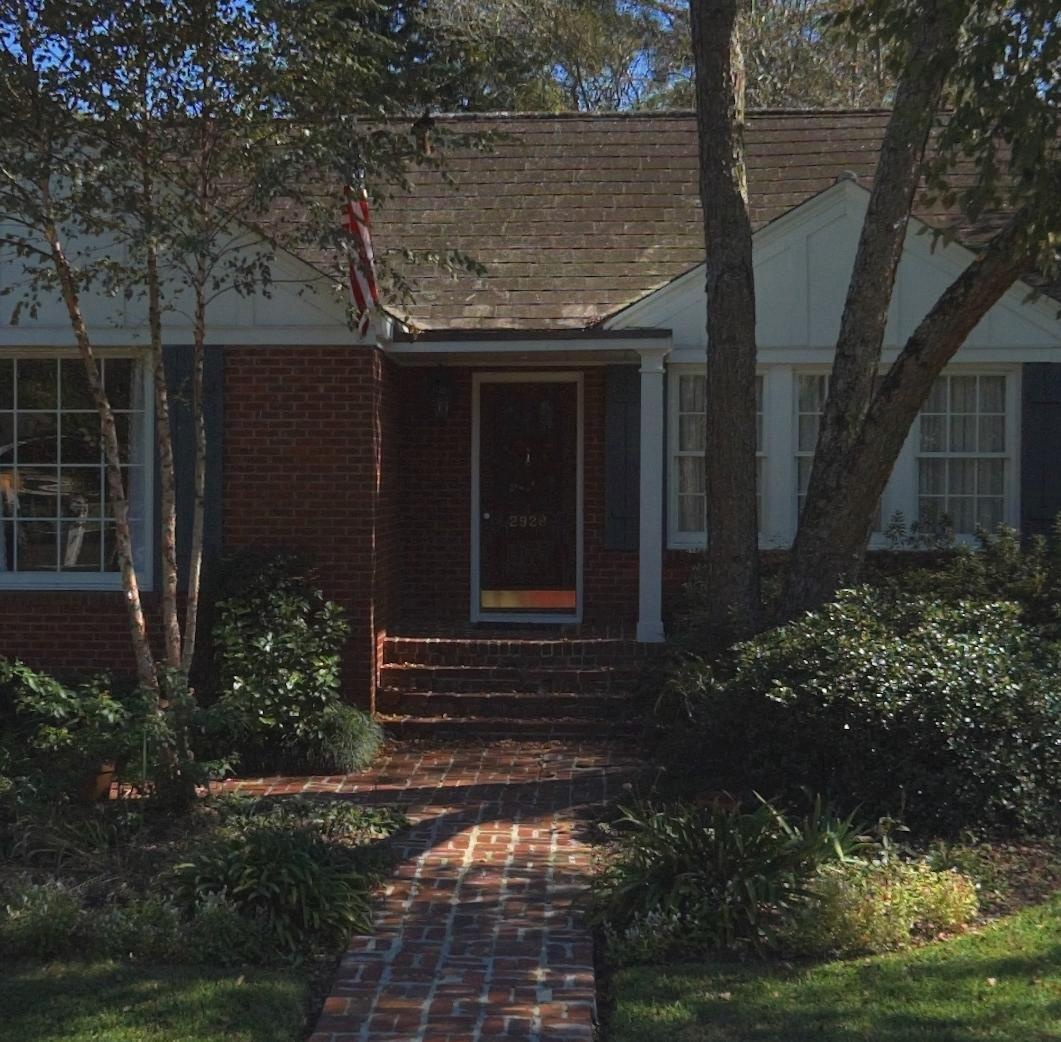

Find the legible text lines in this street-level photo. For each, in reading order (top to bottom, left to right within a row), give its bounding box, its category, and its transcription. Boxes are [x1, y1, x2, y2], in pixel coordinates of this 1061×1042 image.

[508, 513, 548, 529] StreetNumber: 2928